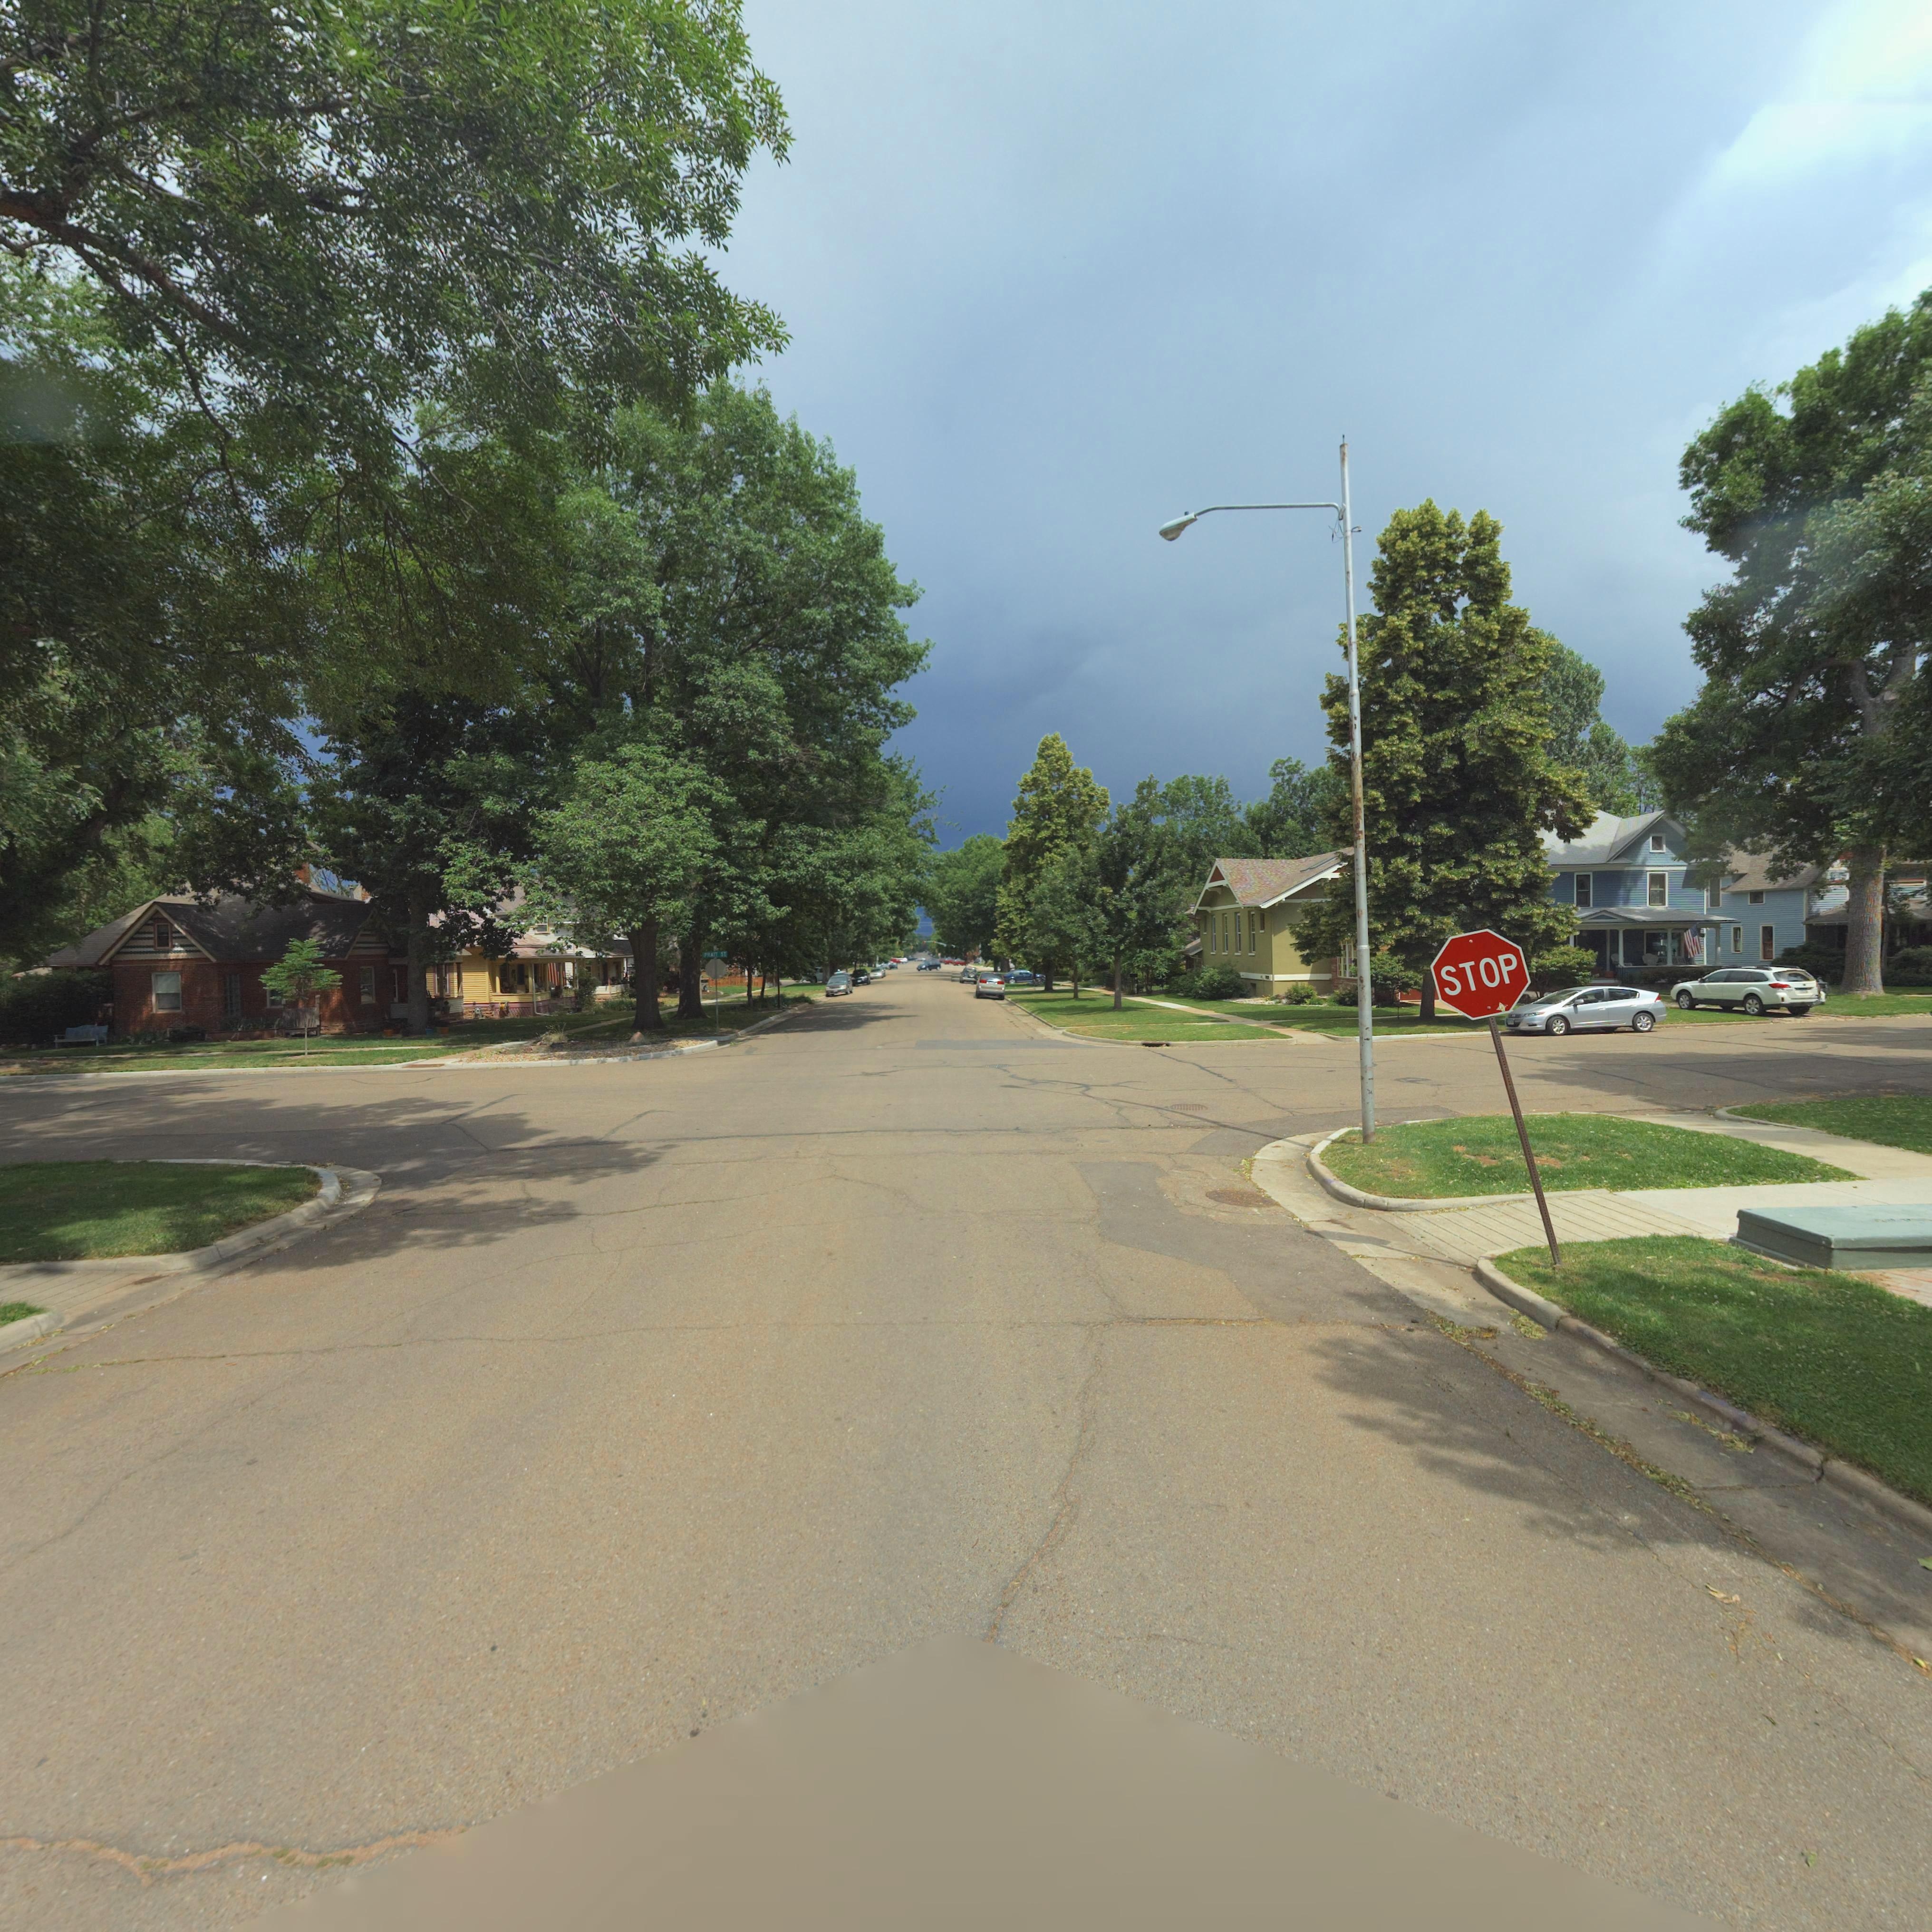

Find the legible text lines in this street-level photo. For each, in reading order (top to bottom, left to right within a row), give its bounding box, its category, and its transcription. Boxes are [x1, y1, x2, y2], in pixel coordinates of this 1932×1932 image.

[704, 951, 726, 957] StreetName: PRATT ST